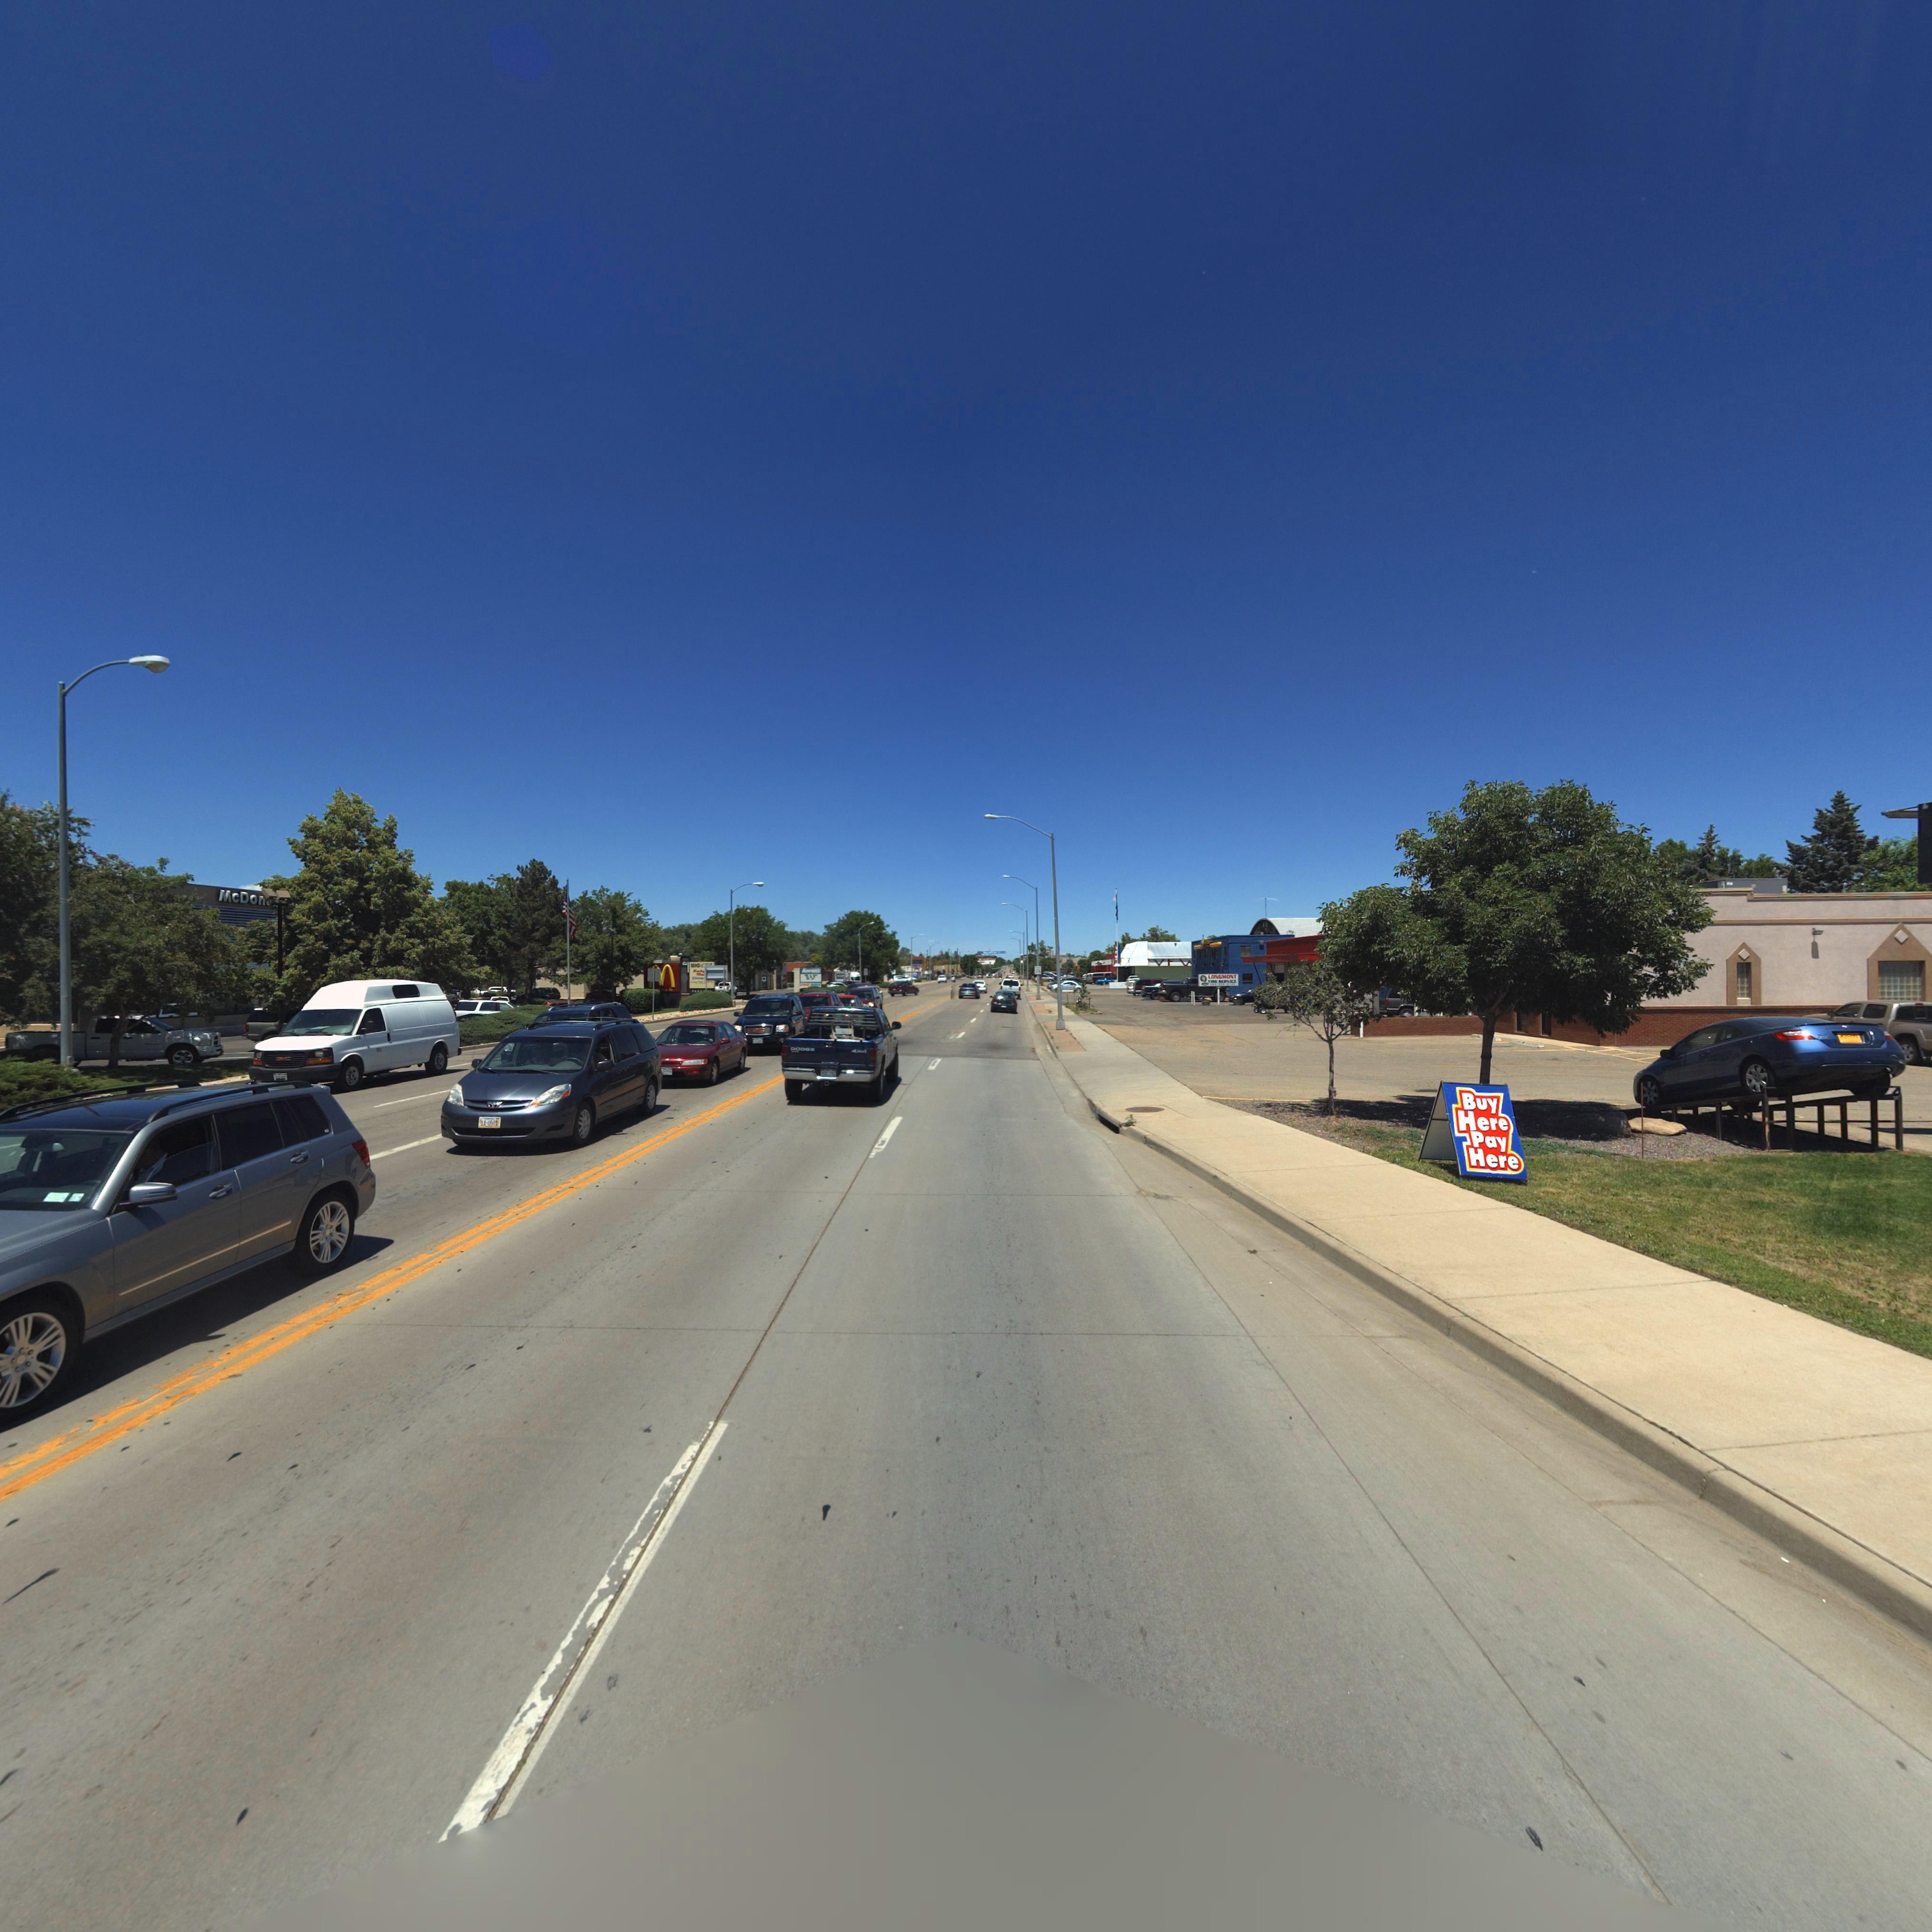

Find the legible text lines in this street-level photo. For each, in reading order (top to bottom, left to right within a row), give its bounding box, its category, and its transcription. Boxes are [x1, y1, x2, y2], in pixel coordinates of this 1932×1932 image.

[218, 889, 293, 909] BusinessName: McDon*****
[691, 962, 713, 967] BusinessName: BIGL****
[693, 969, 707, 973] BusinessName: **cky**
[801, 968, 820, 973] BusinessName: Aaron's
[696, 973, 706, 976] BusinessName: M*****
[1208, 974, 1237, 979] BusinessName: LONGMONT
[1208, 979, 1236, 983] BusinessName: TI*E S*RV***